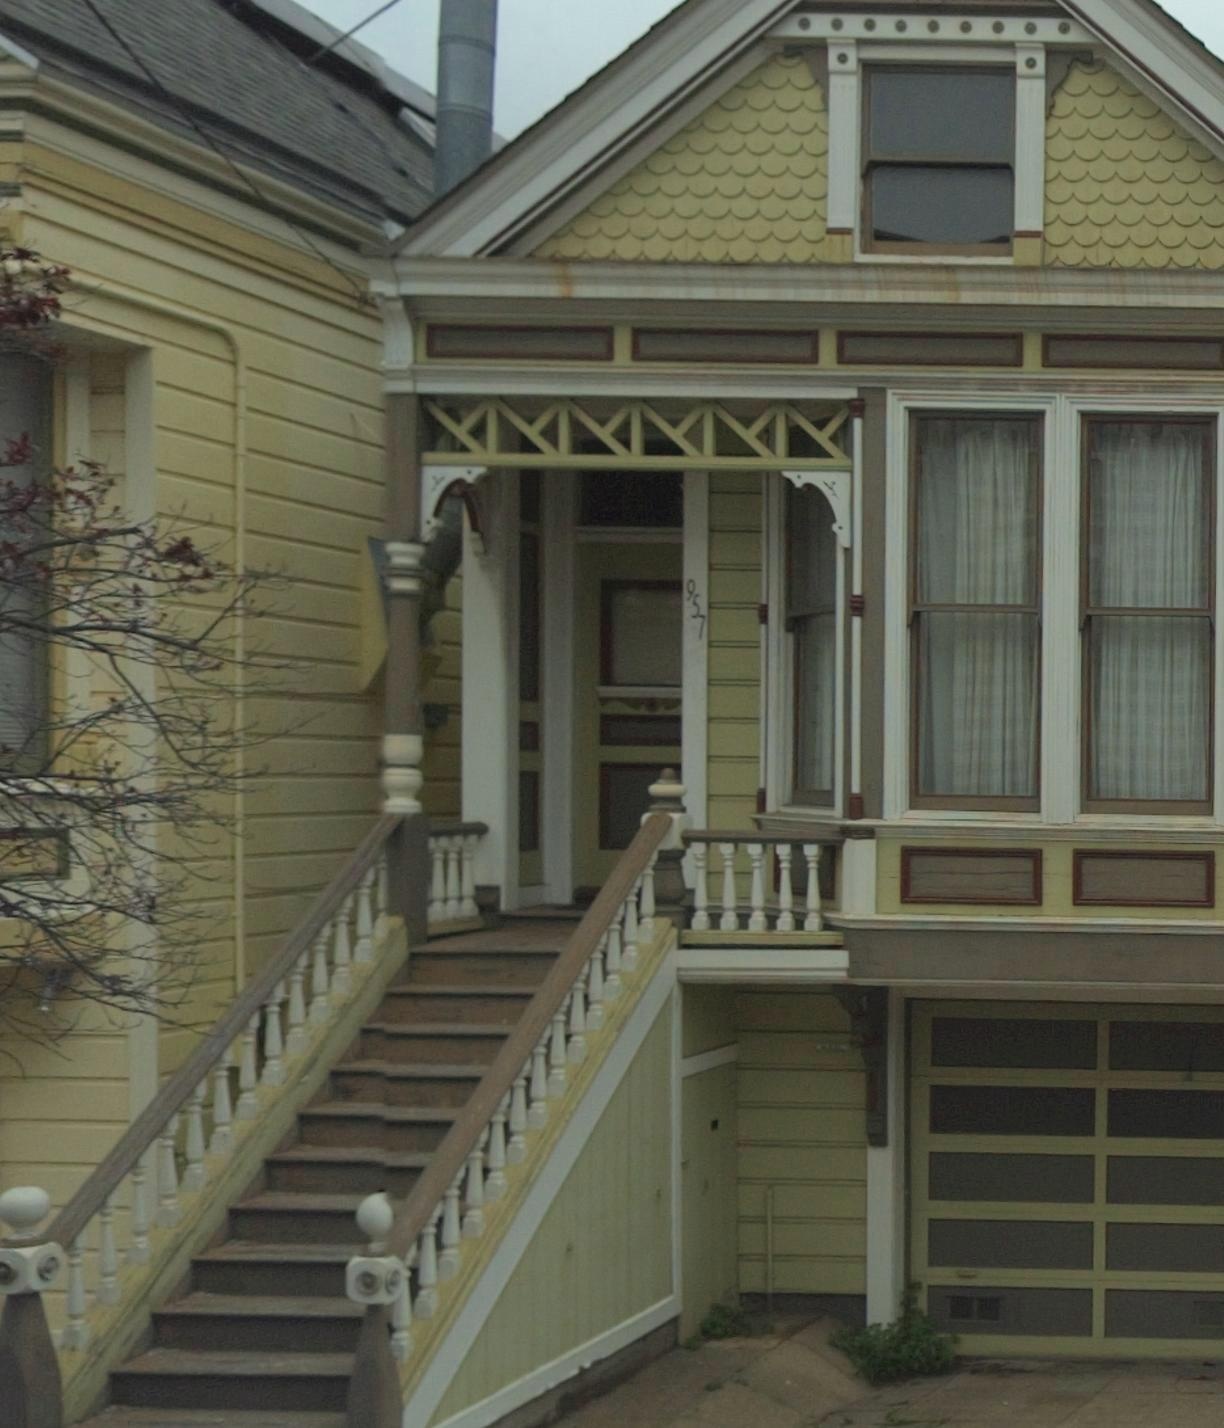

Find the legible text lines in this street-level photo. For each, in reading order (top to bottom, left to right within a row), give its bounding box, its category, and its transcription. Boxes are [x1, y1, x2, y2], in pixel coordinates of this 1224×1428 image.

[684, 577, 707, 642] StreetNumber: 957